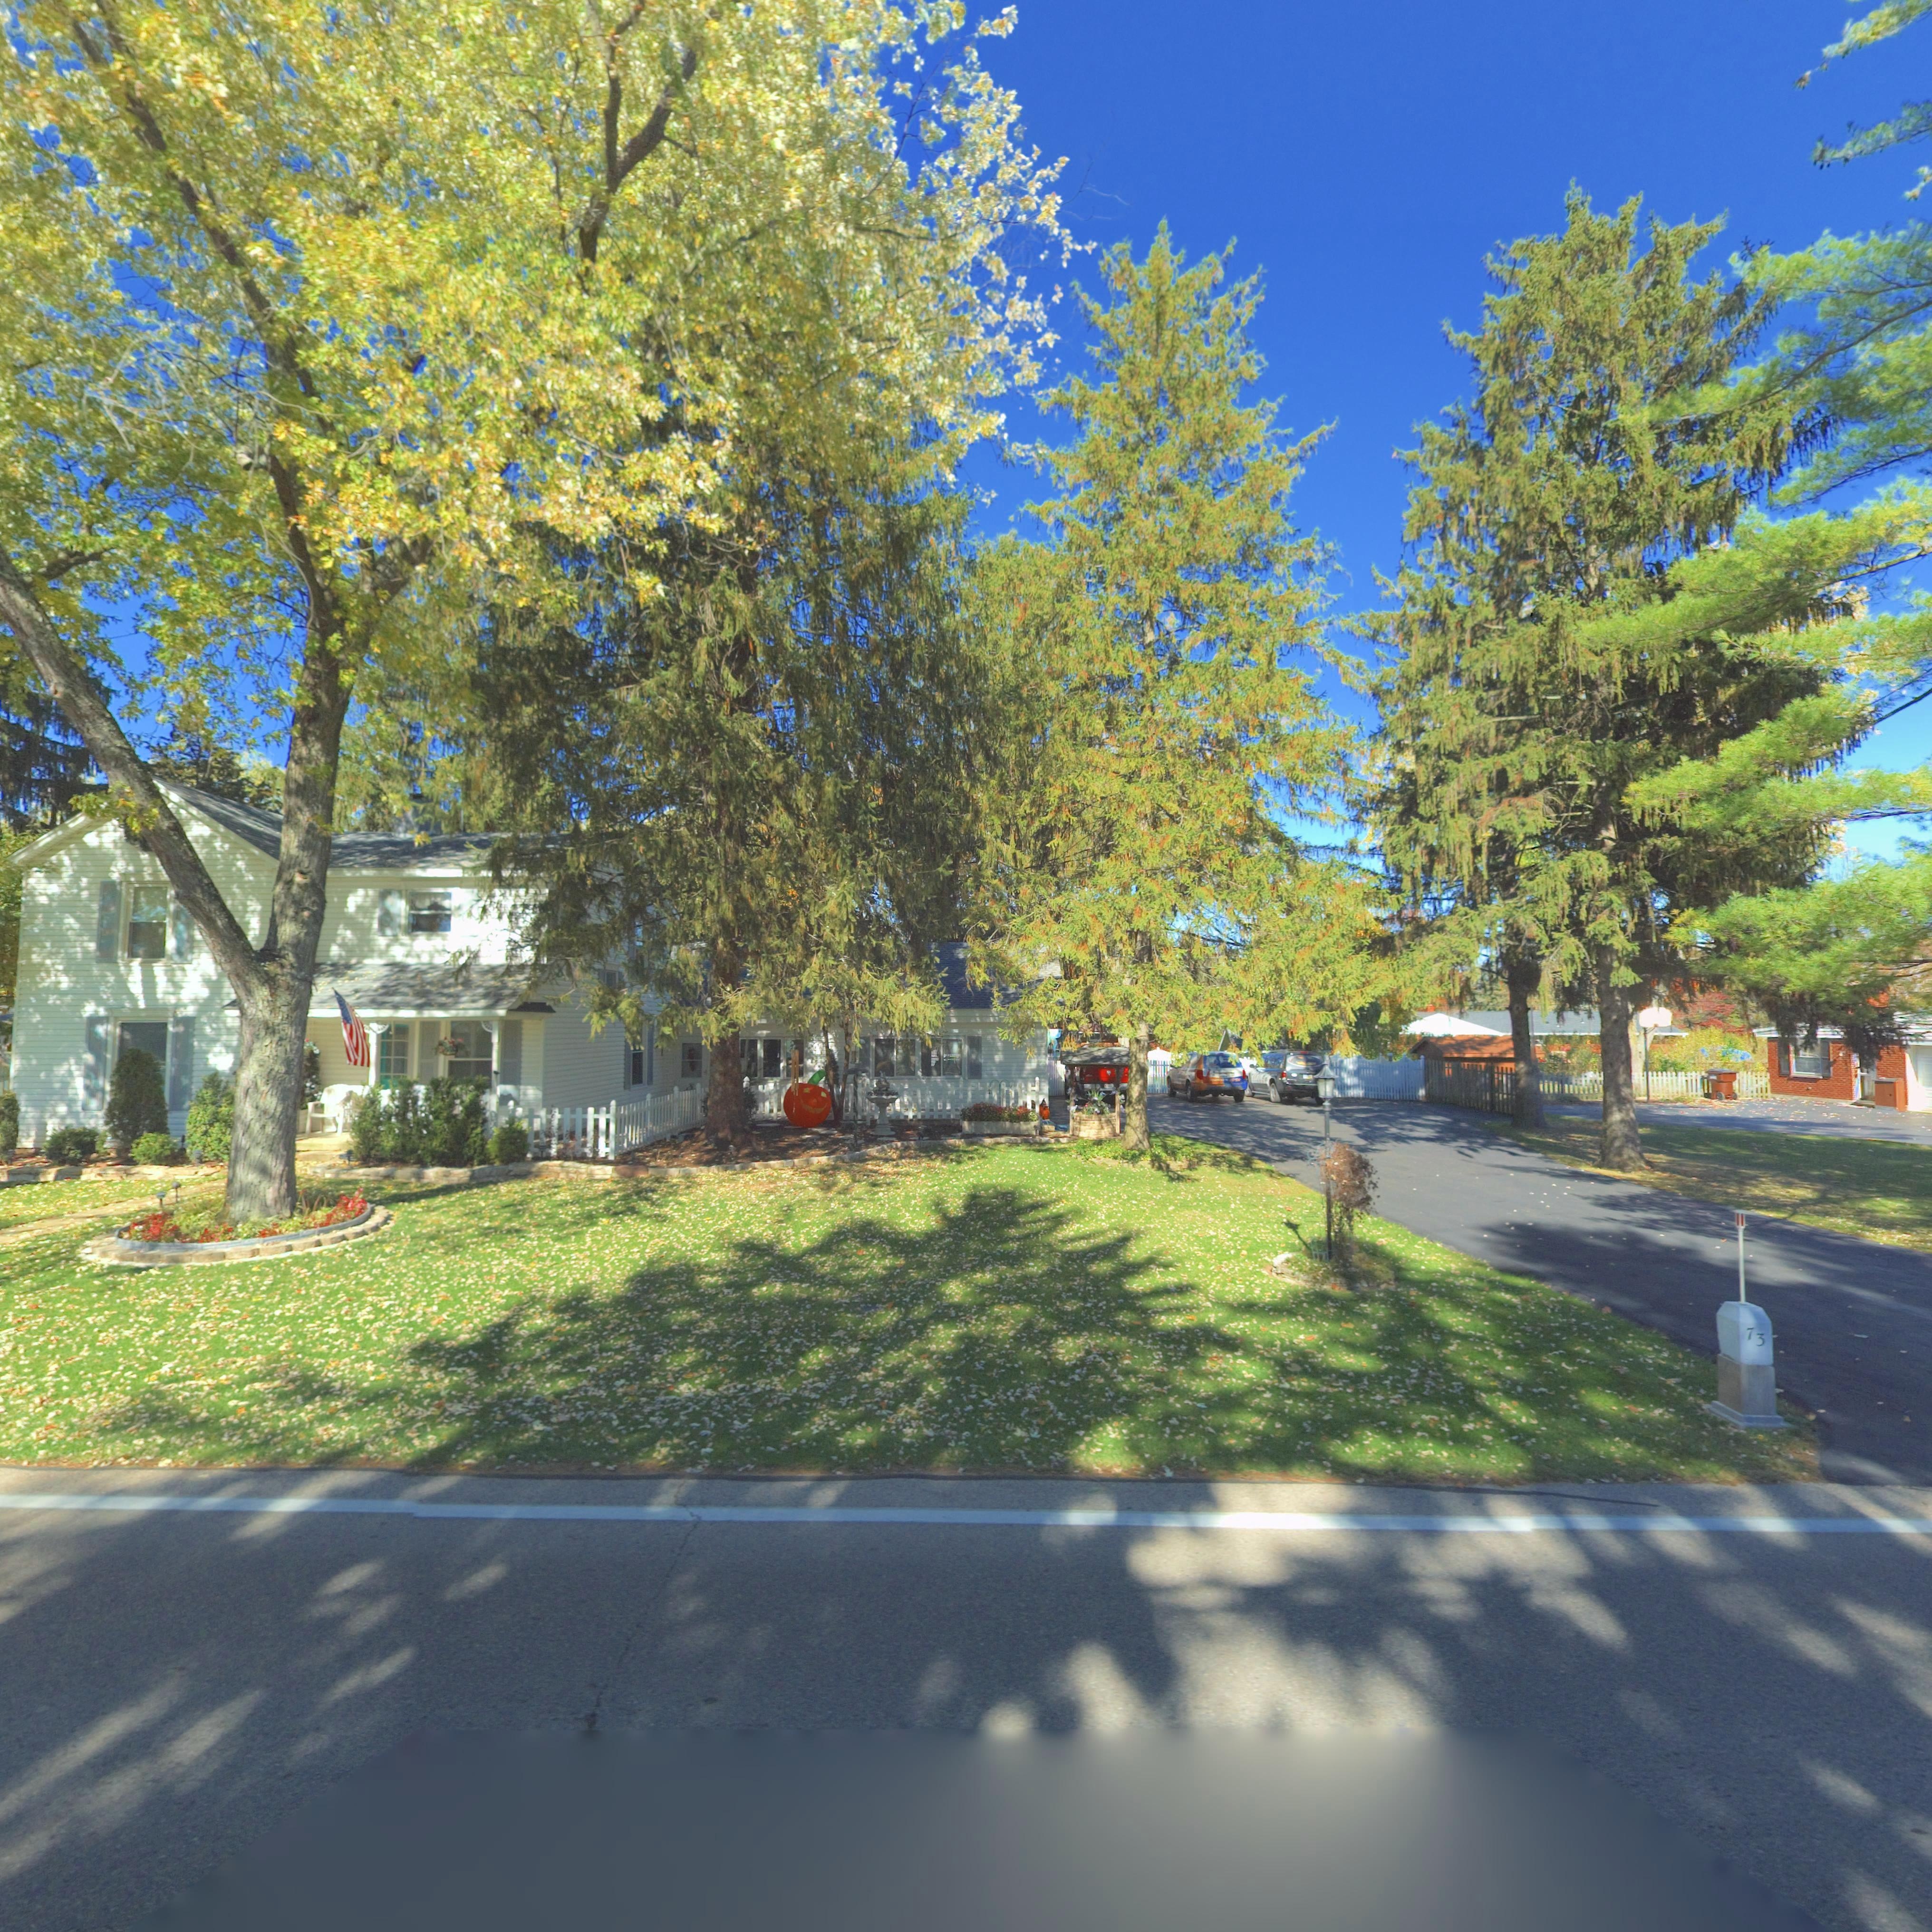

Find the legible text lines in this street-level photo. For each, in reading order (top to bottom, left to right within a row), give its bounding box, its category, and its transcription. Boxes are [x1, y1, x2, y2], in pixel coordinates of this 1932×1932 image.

[1747, 1326, 1765, 1348] StreetNumber: 73